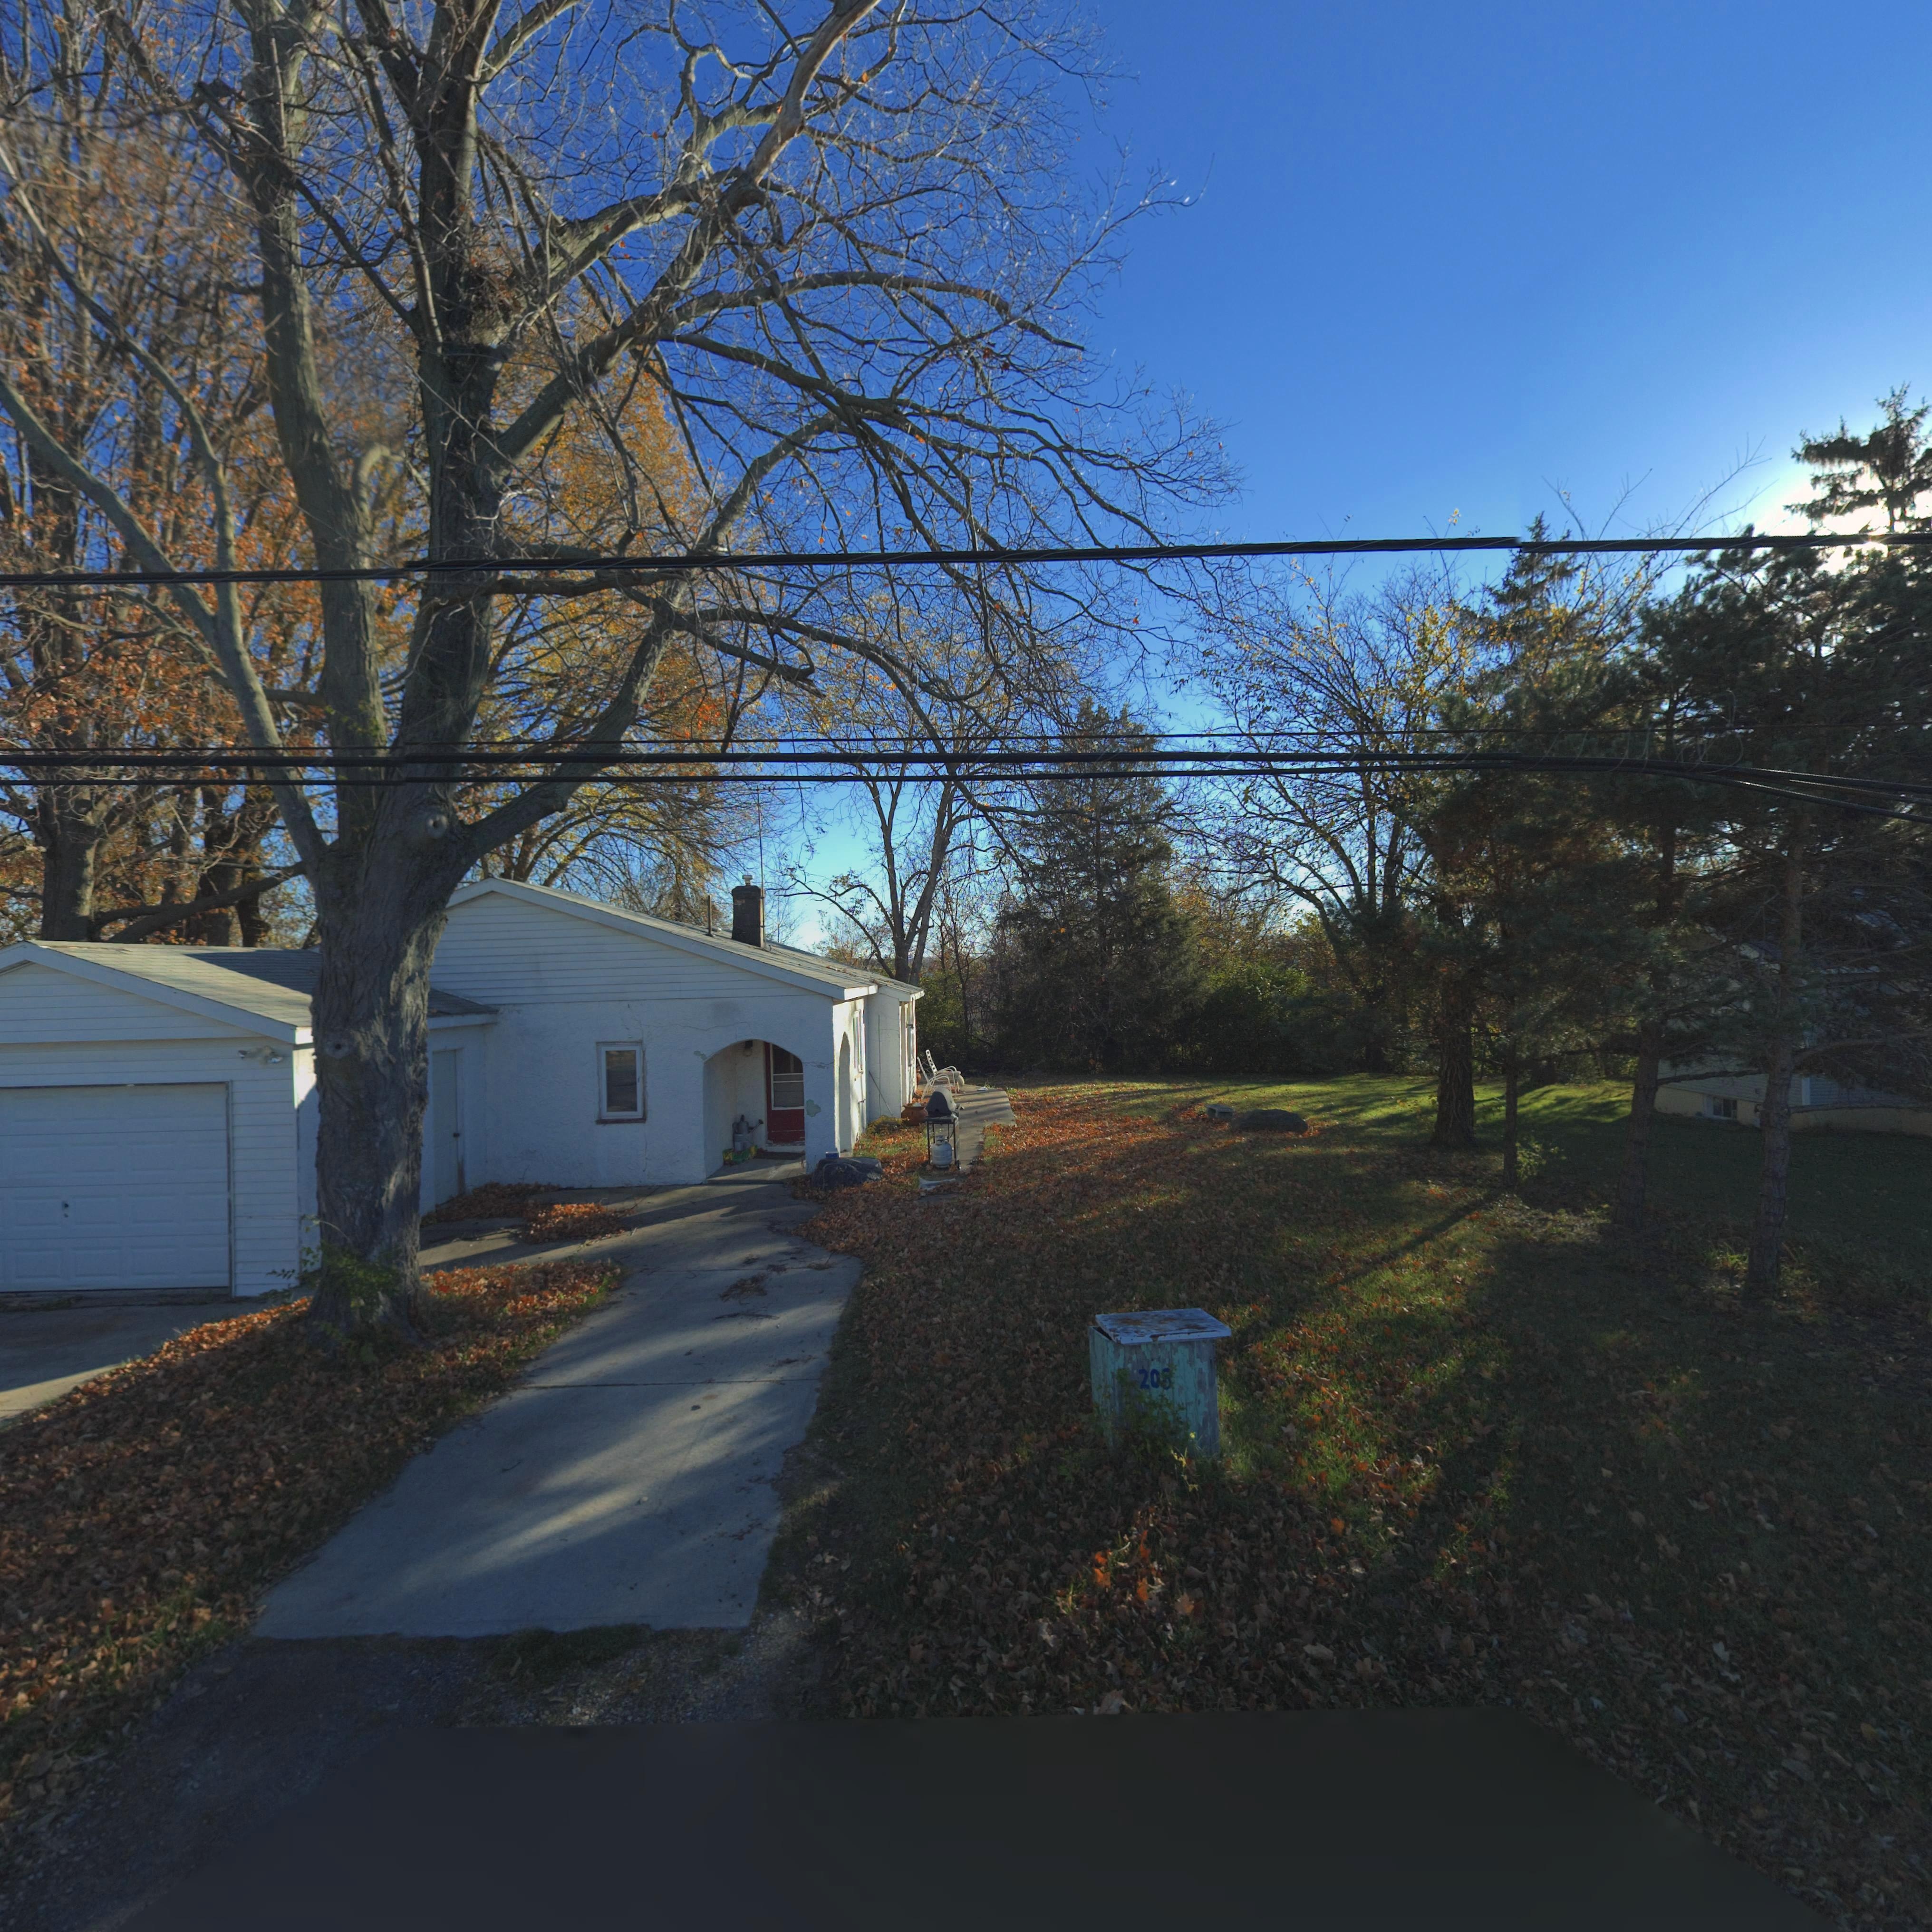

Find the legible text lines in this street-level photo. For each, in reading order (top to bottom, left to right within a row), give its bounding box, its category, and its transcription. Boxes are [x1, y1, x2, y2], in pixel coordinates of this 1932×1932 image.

[1138, 1367, 1174, 1391] StreetNumber: 20*